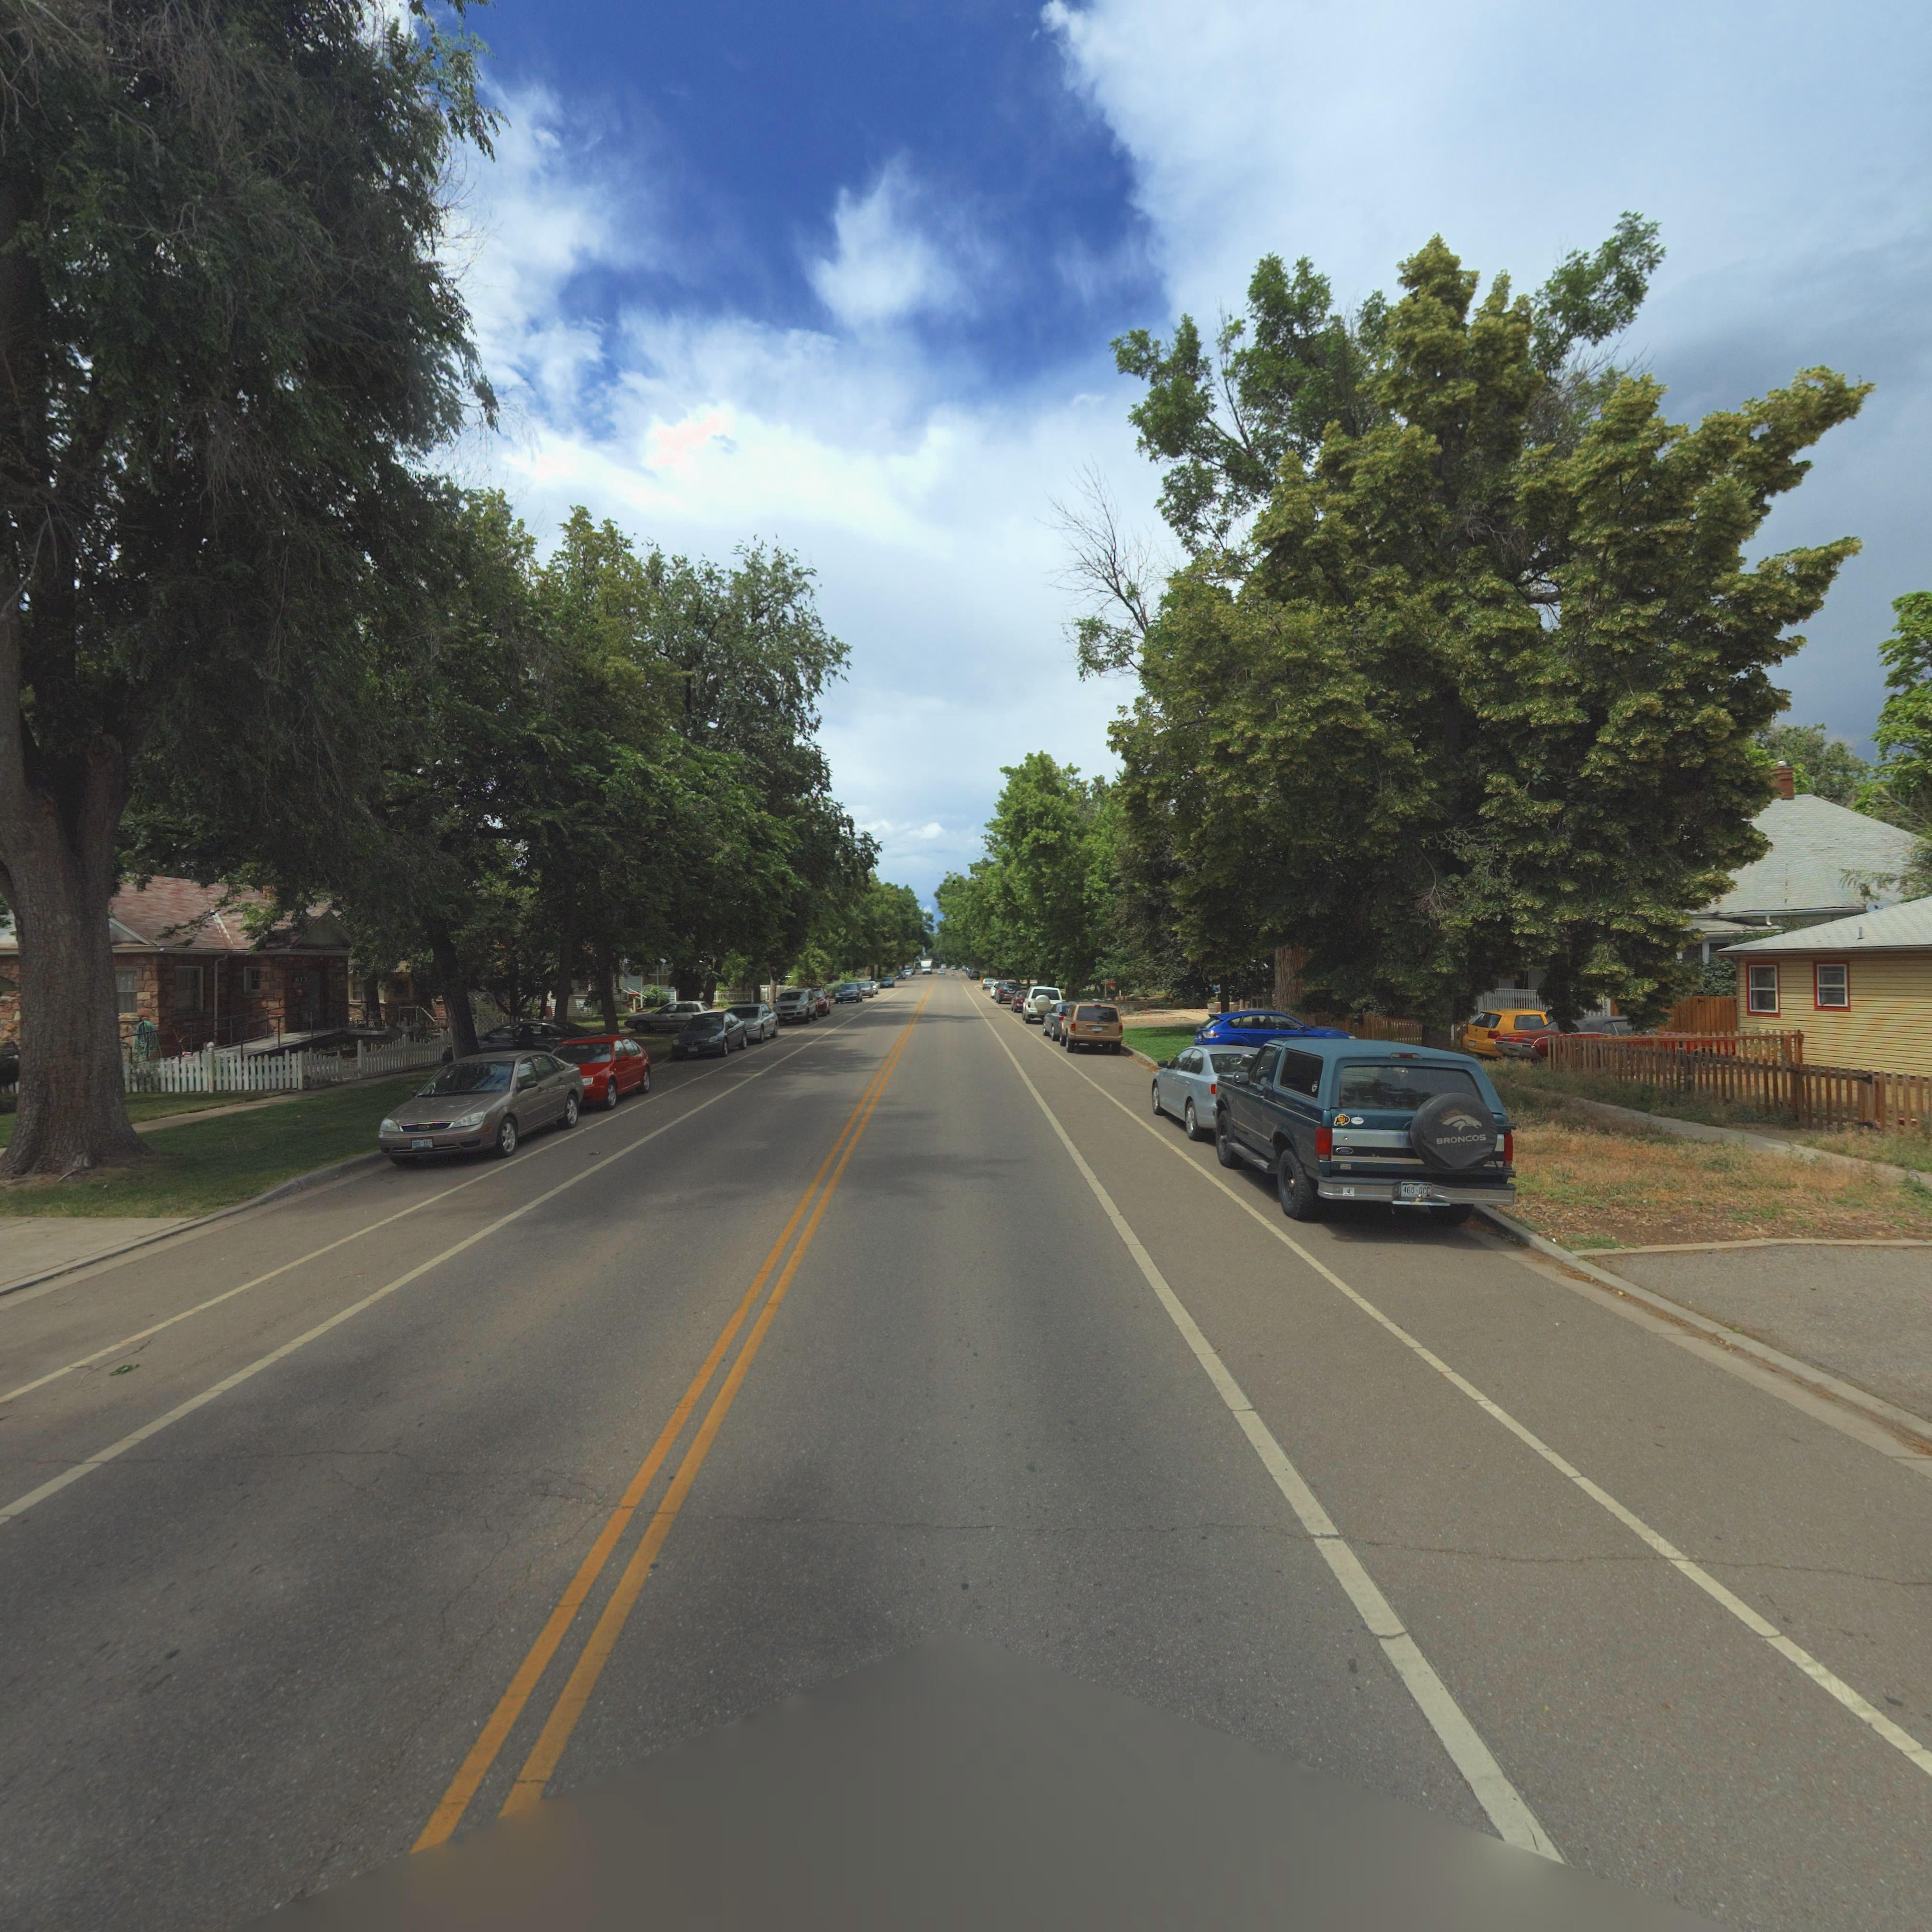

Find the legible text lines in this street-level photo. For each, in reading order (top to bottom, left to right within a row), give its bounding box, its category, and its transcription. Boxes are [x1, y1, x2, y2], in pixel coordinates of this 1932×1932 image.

[294, 976, 307, 983] StreetNumber: 613